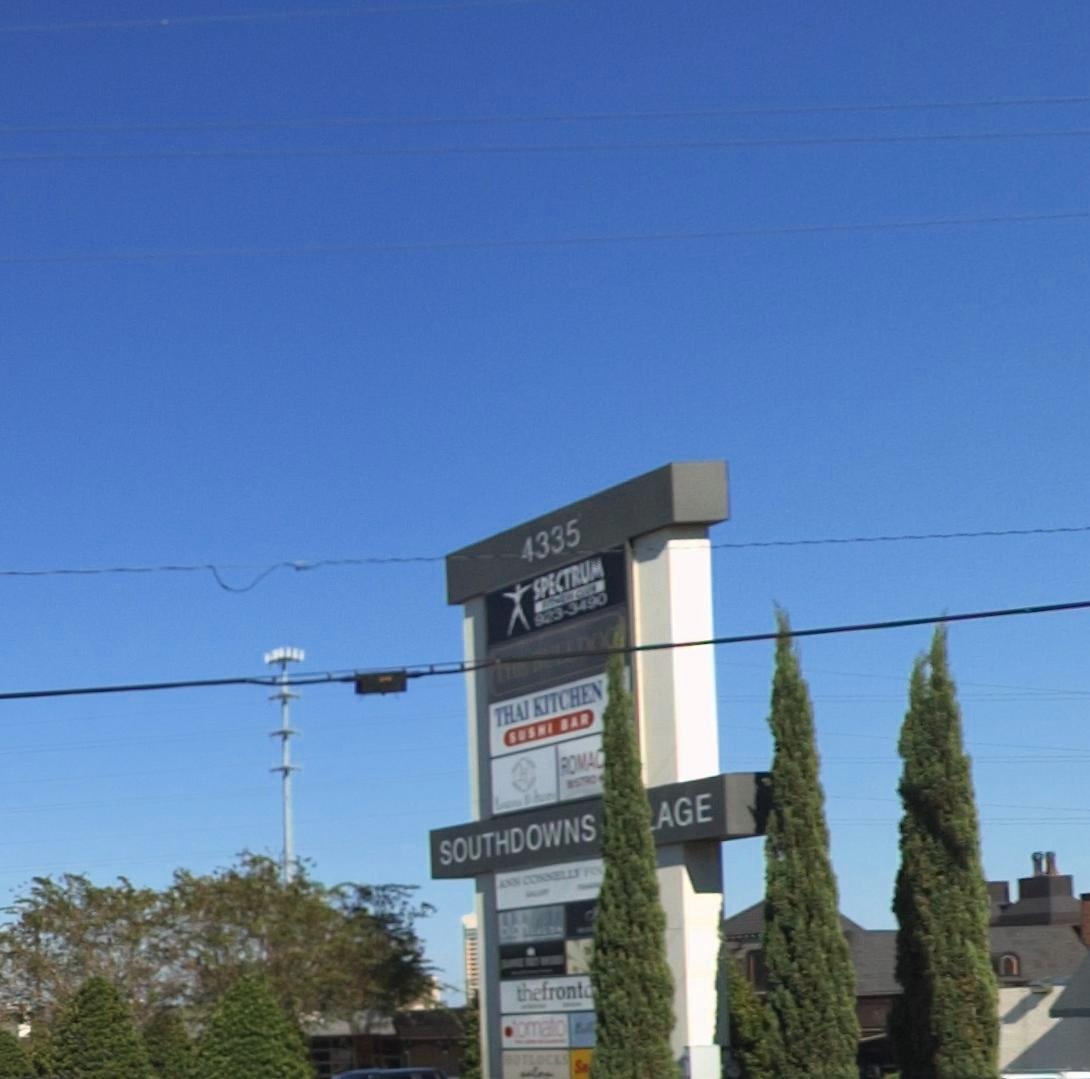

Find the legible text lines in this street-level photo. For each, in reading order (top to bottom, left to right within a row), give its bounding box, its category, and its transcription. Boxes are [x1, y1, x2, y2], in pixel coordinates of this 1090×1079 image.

[518, 513, 584, 566] StreetNumber: 4335
[530, 553, 608, 604] BusinessName: SPECRUM
[531, 590, 610, 630] None: 923-3490
[489, 675, 606, 730] BusinessName: THAI KITCHEN
[506, 710, 592, 748] BusinessName: SUSHI BAR
[558, 743, 608, 781] BusinessName: ROMANC
[654, 790, 719, 834] BusinessName: AGE
[436, 809, 600, 870] BusinessName: SOUTHDOWNS
[513, 977, 586, 1006] BusinessName: thefront
[510, 1014, 569, 1040] BusinessName: tomato
[500, 1049, 574, 1069] BusinessName: HOTLOCKS
[572, 1055, 585, 1078] BusinessName: S